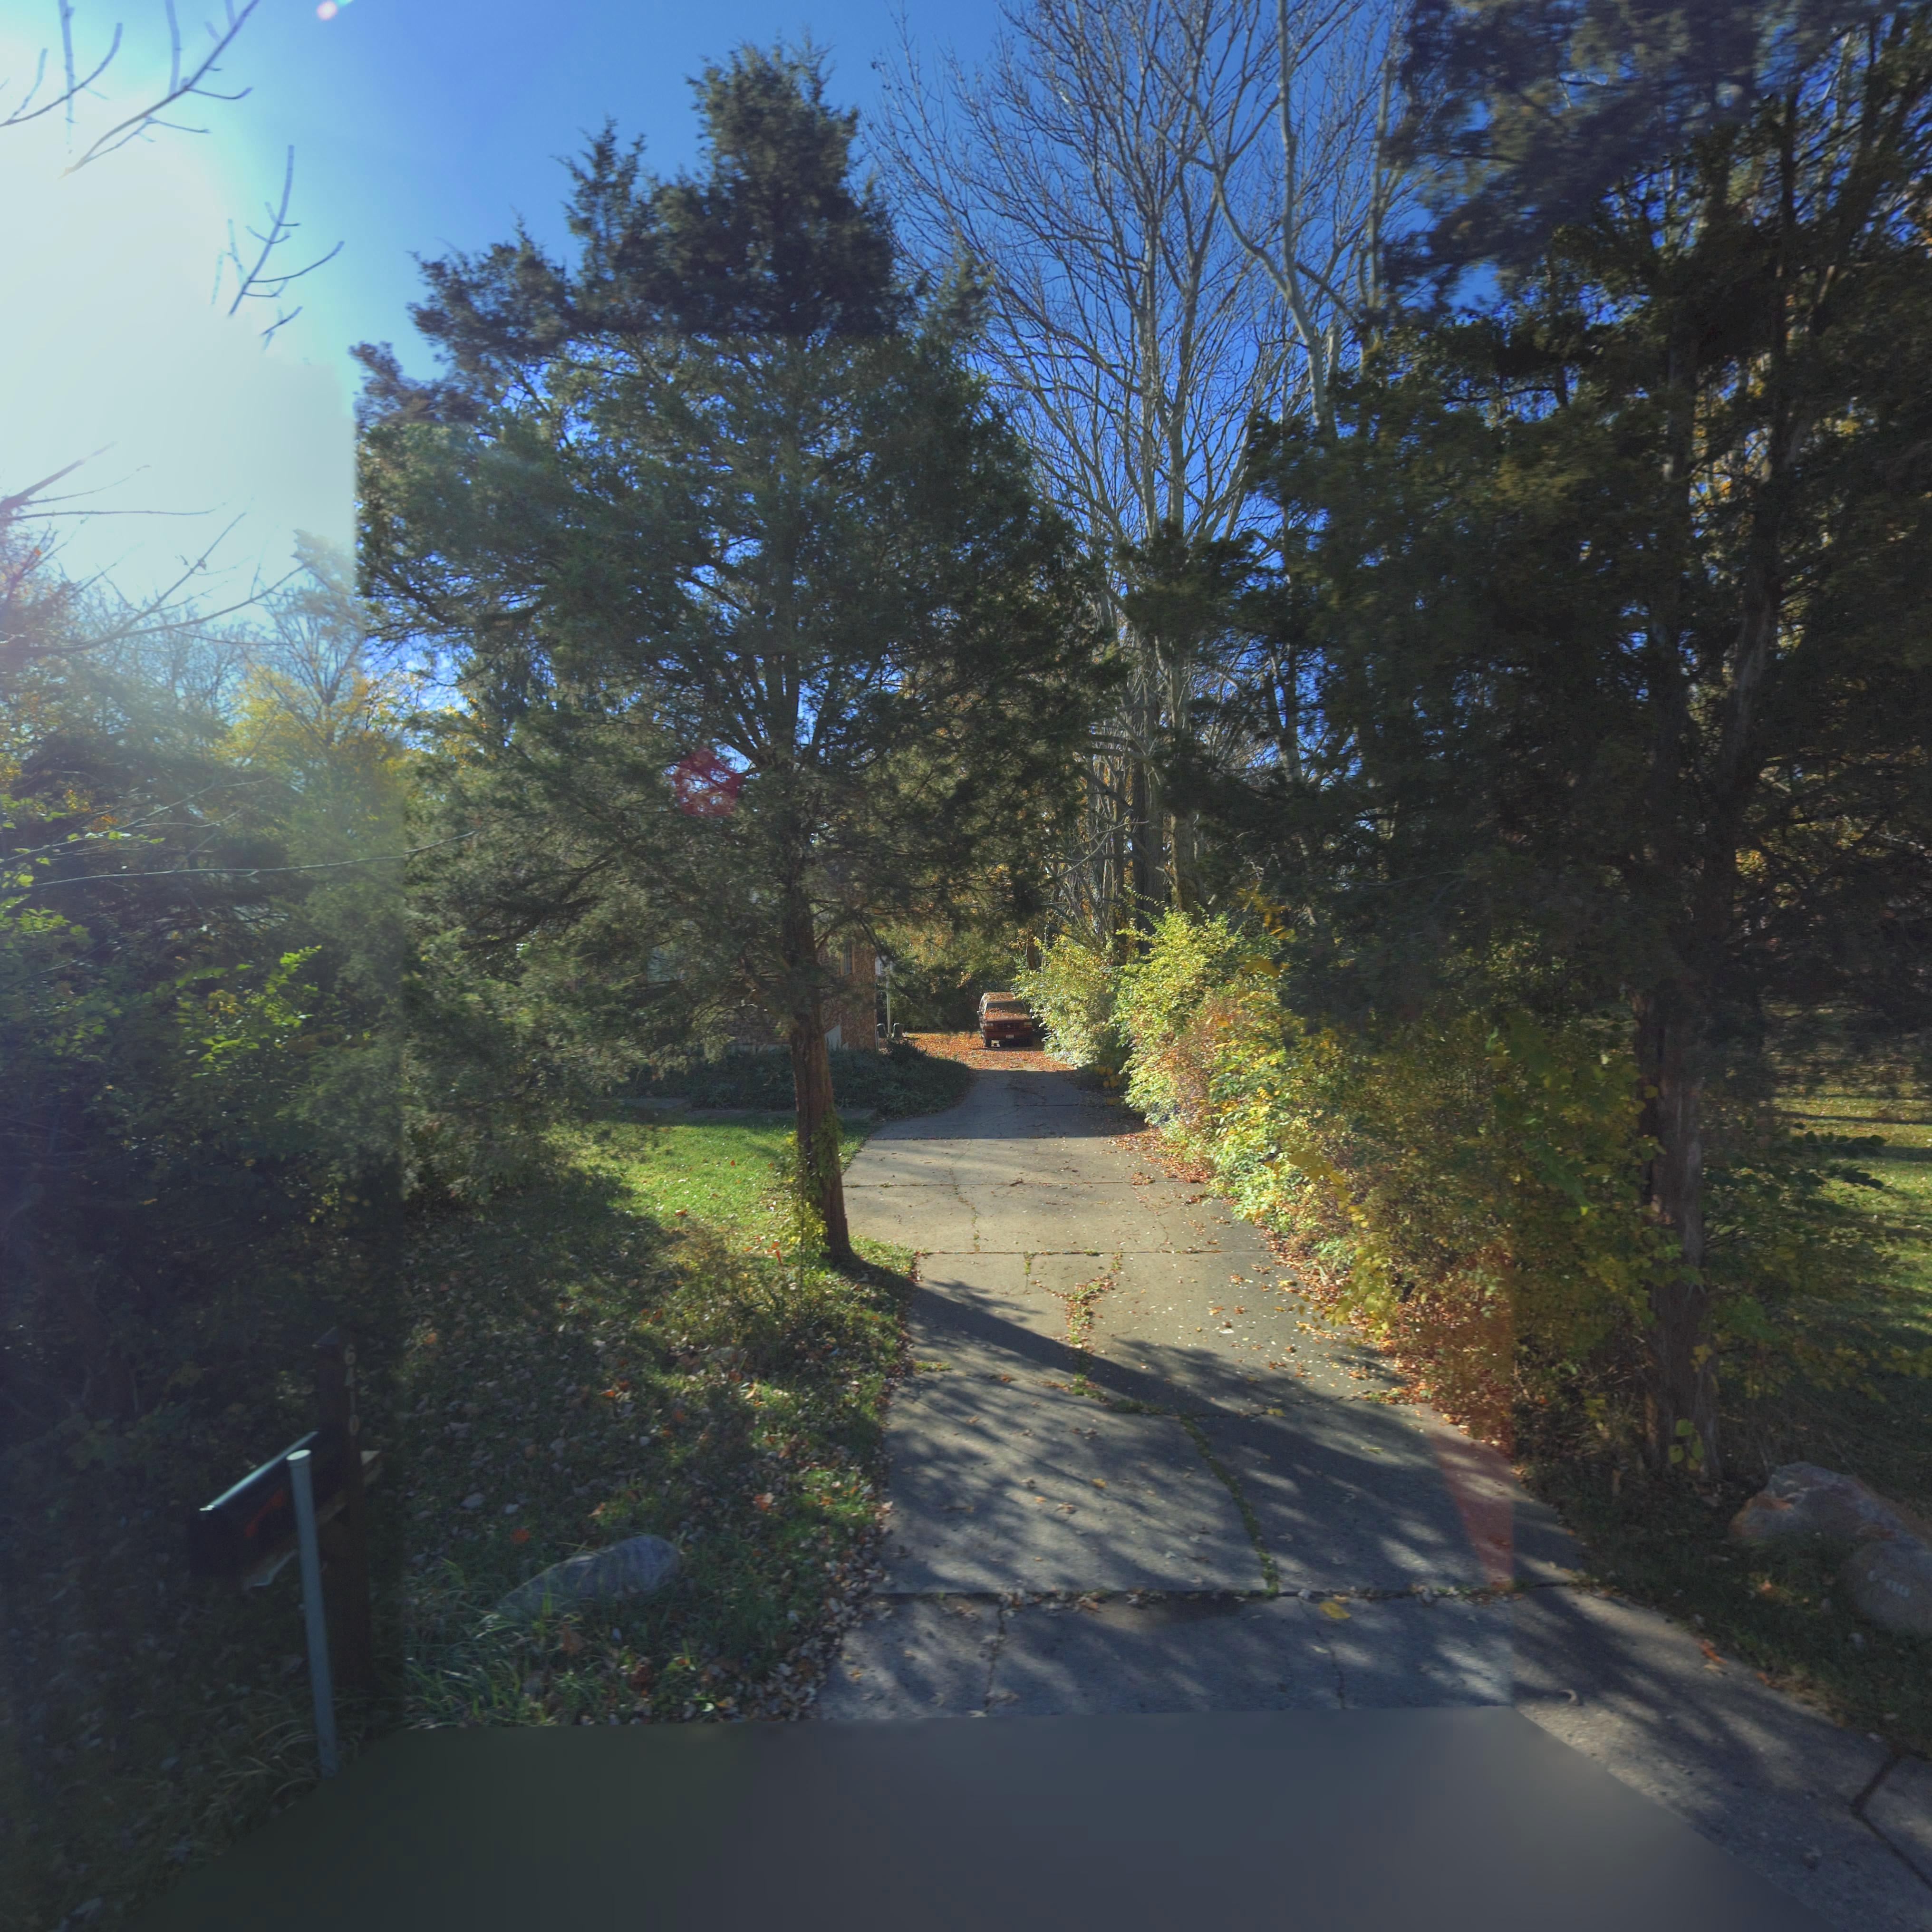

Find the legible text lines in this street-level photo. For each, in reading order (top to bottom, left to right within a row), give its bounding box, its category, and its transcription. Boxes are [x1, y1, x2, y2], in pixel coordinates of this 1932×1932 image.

[342, 1341, 363, 1441] StreetNumber: 6410